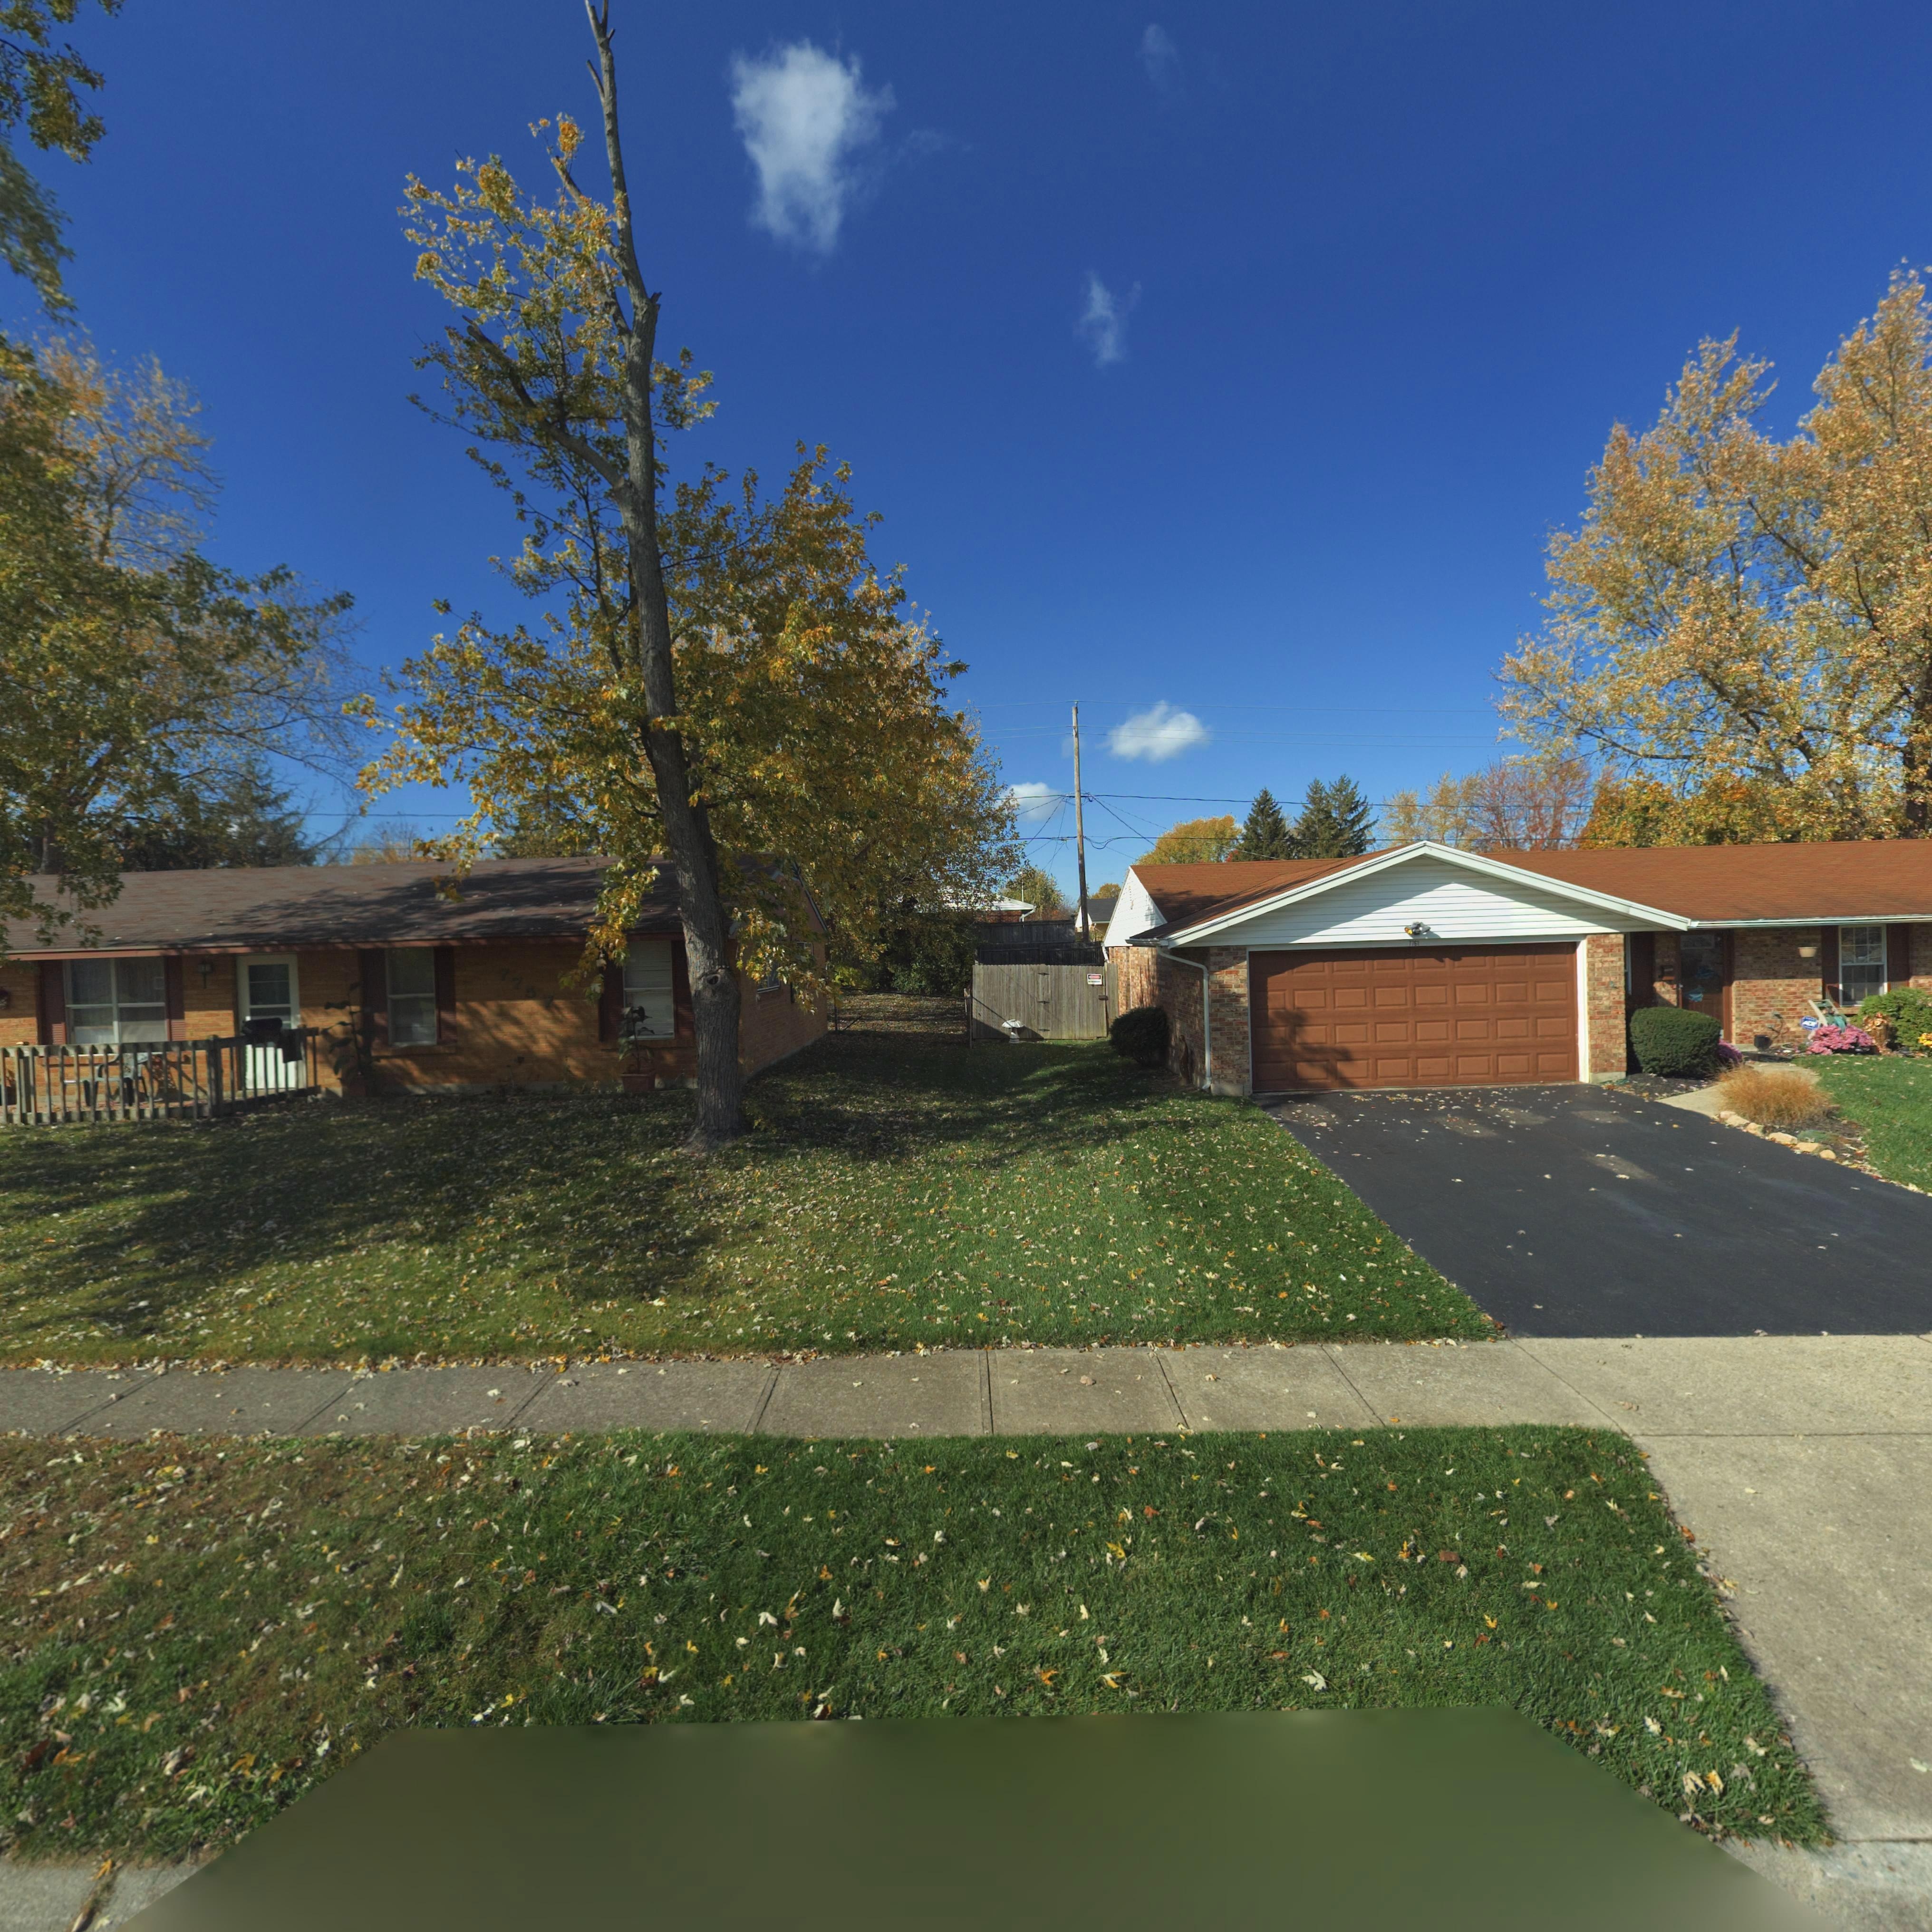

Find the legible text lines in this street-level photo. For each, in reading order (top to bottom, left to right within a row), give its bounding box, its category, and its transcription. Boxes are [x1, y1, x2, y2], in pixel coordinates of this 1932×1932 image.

[1408, 939, 1420, 947] StreetNumber: 776*
[498, 967, 555, 1010] StreetNumber: 7757